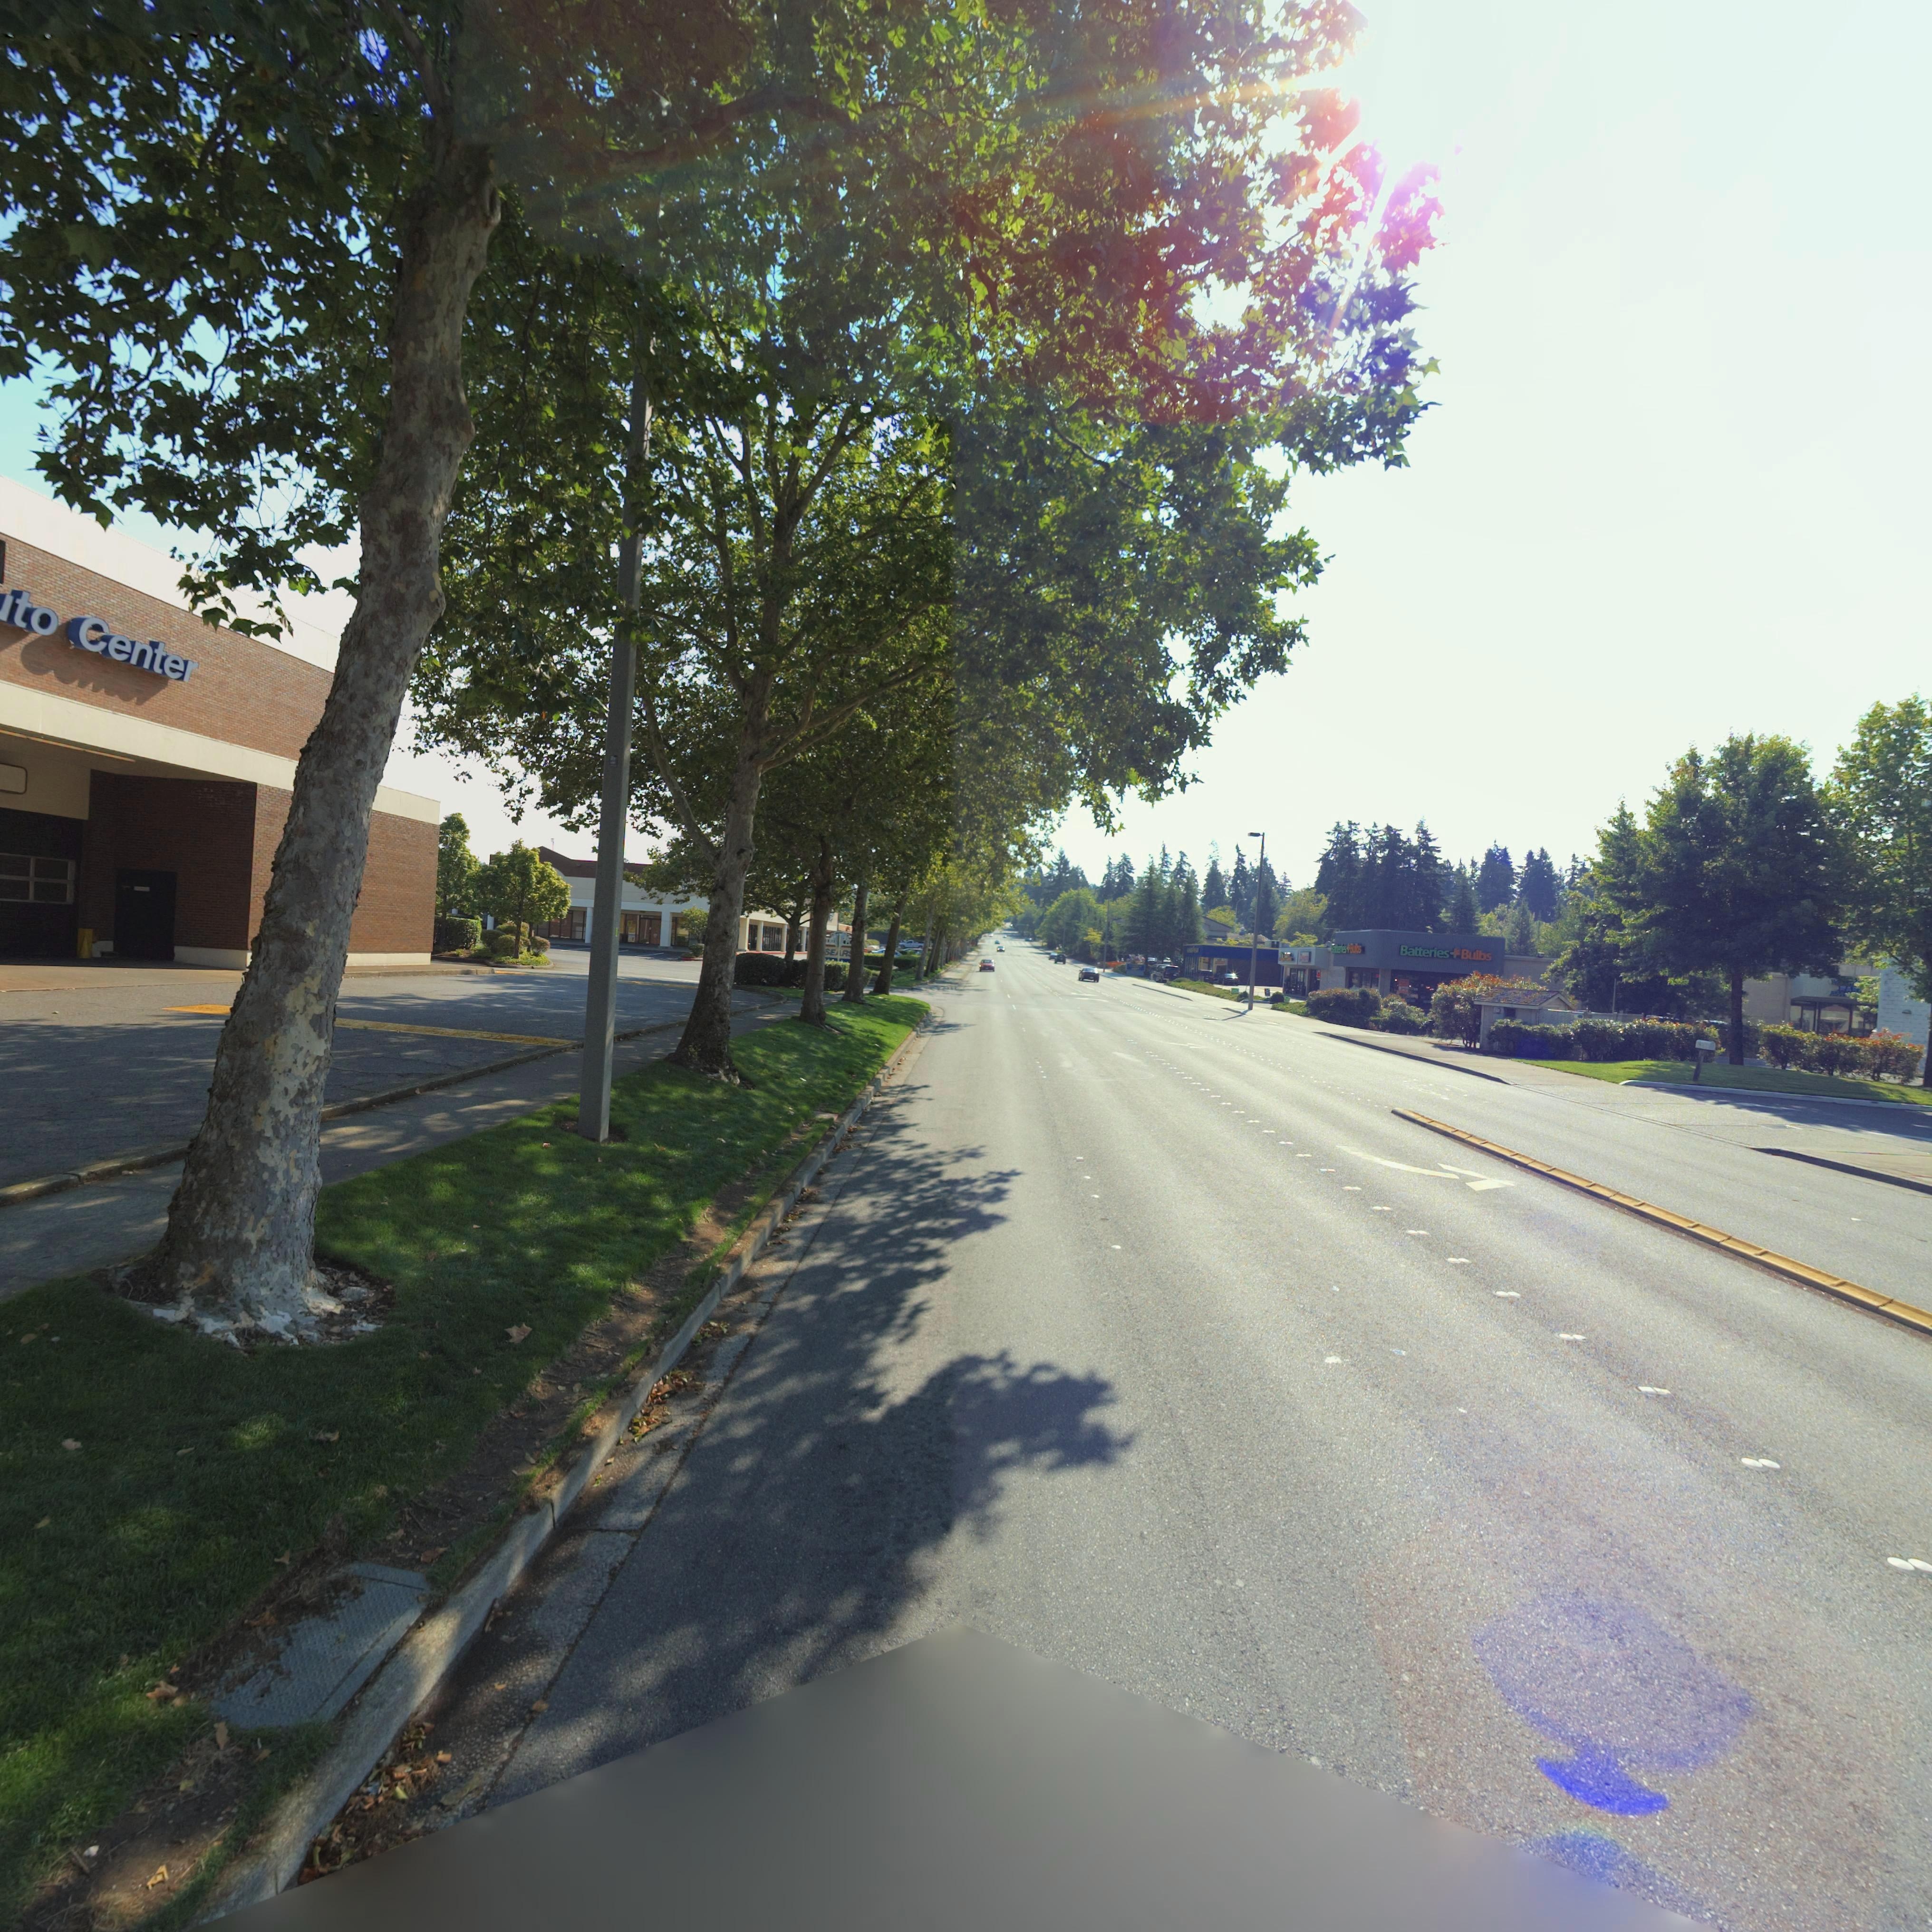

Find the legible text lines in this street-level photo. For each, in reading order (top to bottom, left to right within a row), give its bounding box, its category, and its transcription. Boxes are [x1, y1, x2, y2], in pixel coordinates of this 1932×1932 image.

[9, 587, 201, 685] BusinessName: to Center
[824, 947, 849, 957] BusinessName: SE*R
[1330, 943, 1362, 954] StreetNumber: Batteries*Bulbs
[1400, 945, 1492, 961] BusinessName: Batteries*Bulbs